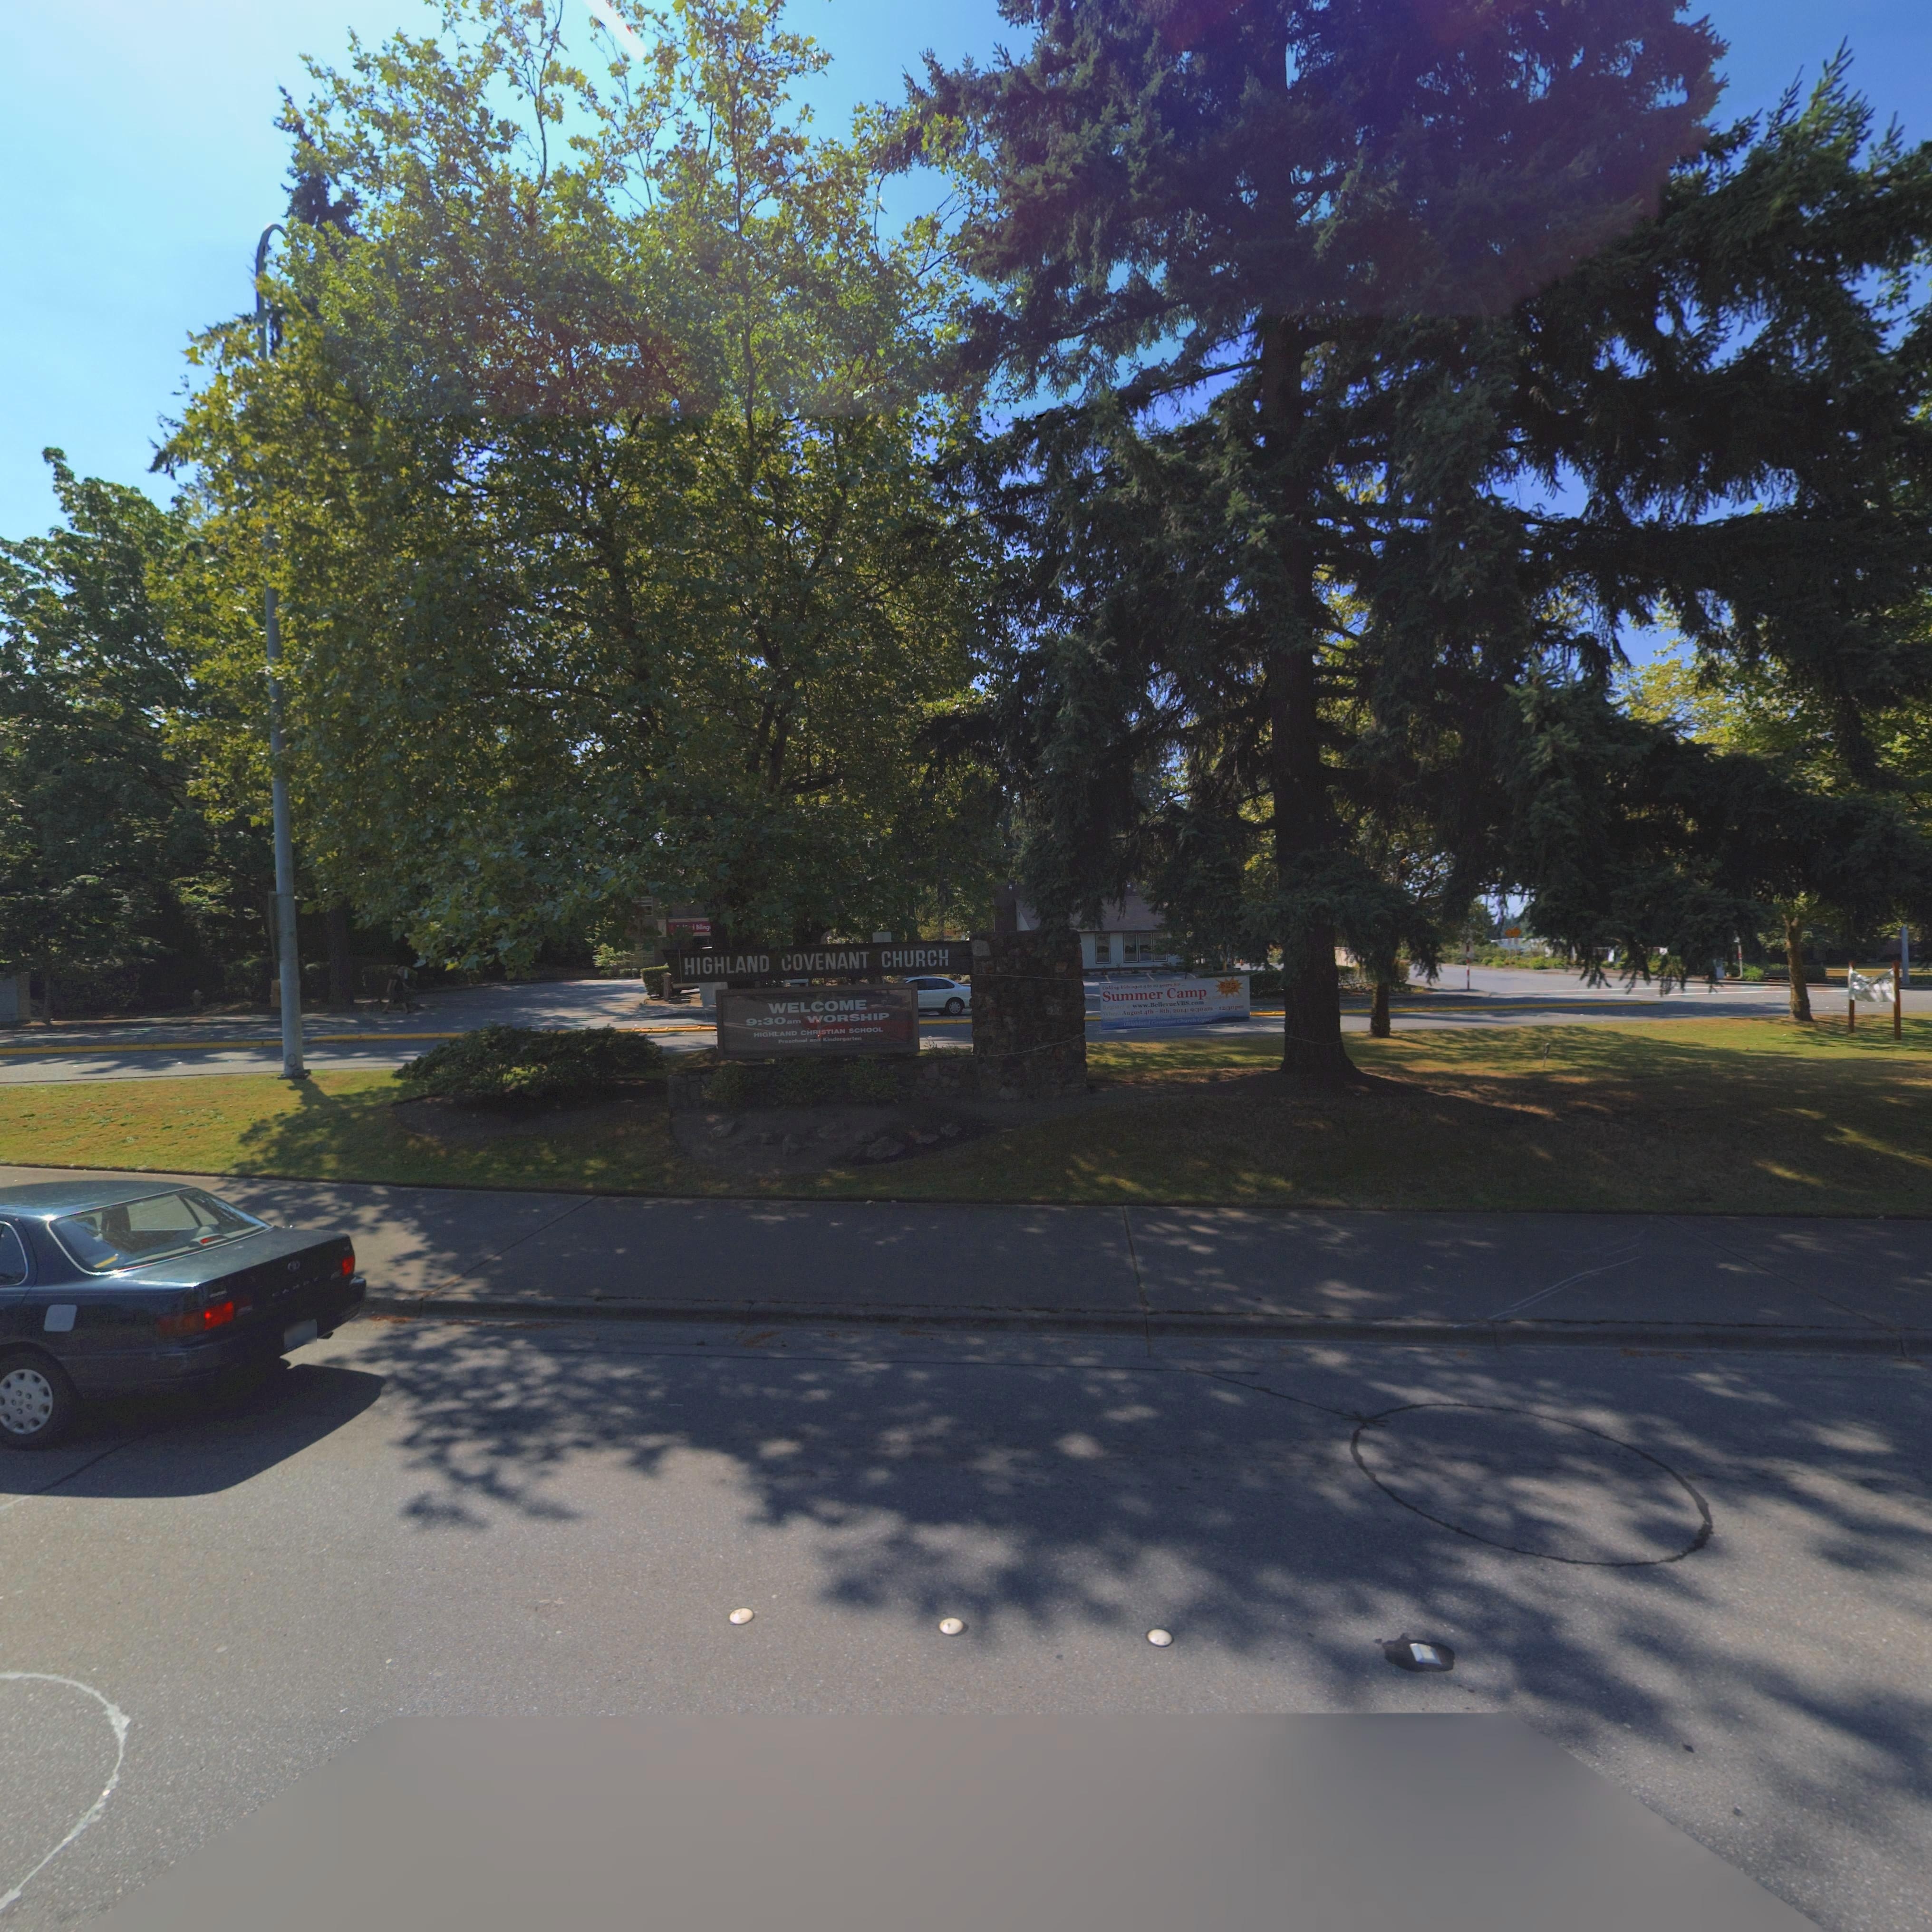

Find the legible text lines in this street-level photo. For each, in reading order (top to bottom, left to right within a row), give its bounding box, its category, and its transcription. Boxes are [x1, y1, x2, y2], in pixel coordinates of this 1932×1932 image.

[683, 947, 949, 976] BusinessName: HIGHLAND COVENANT CHURN
[752, 1026, 884, 1039] BusinessName: HIGHLAND CHRISTIAN SCHOOL